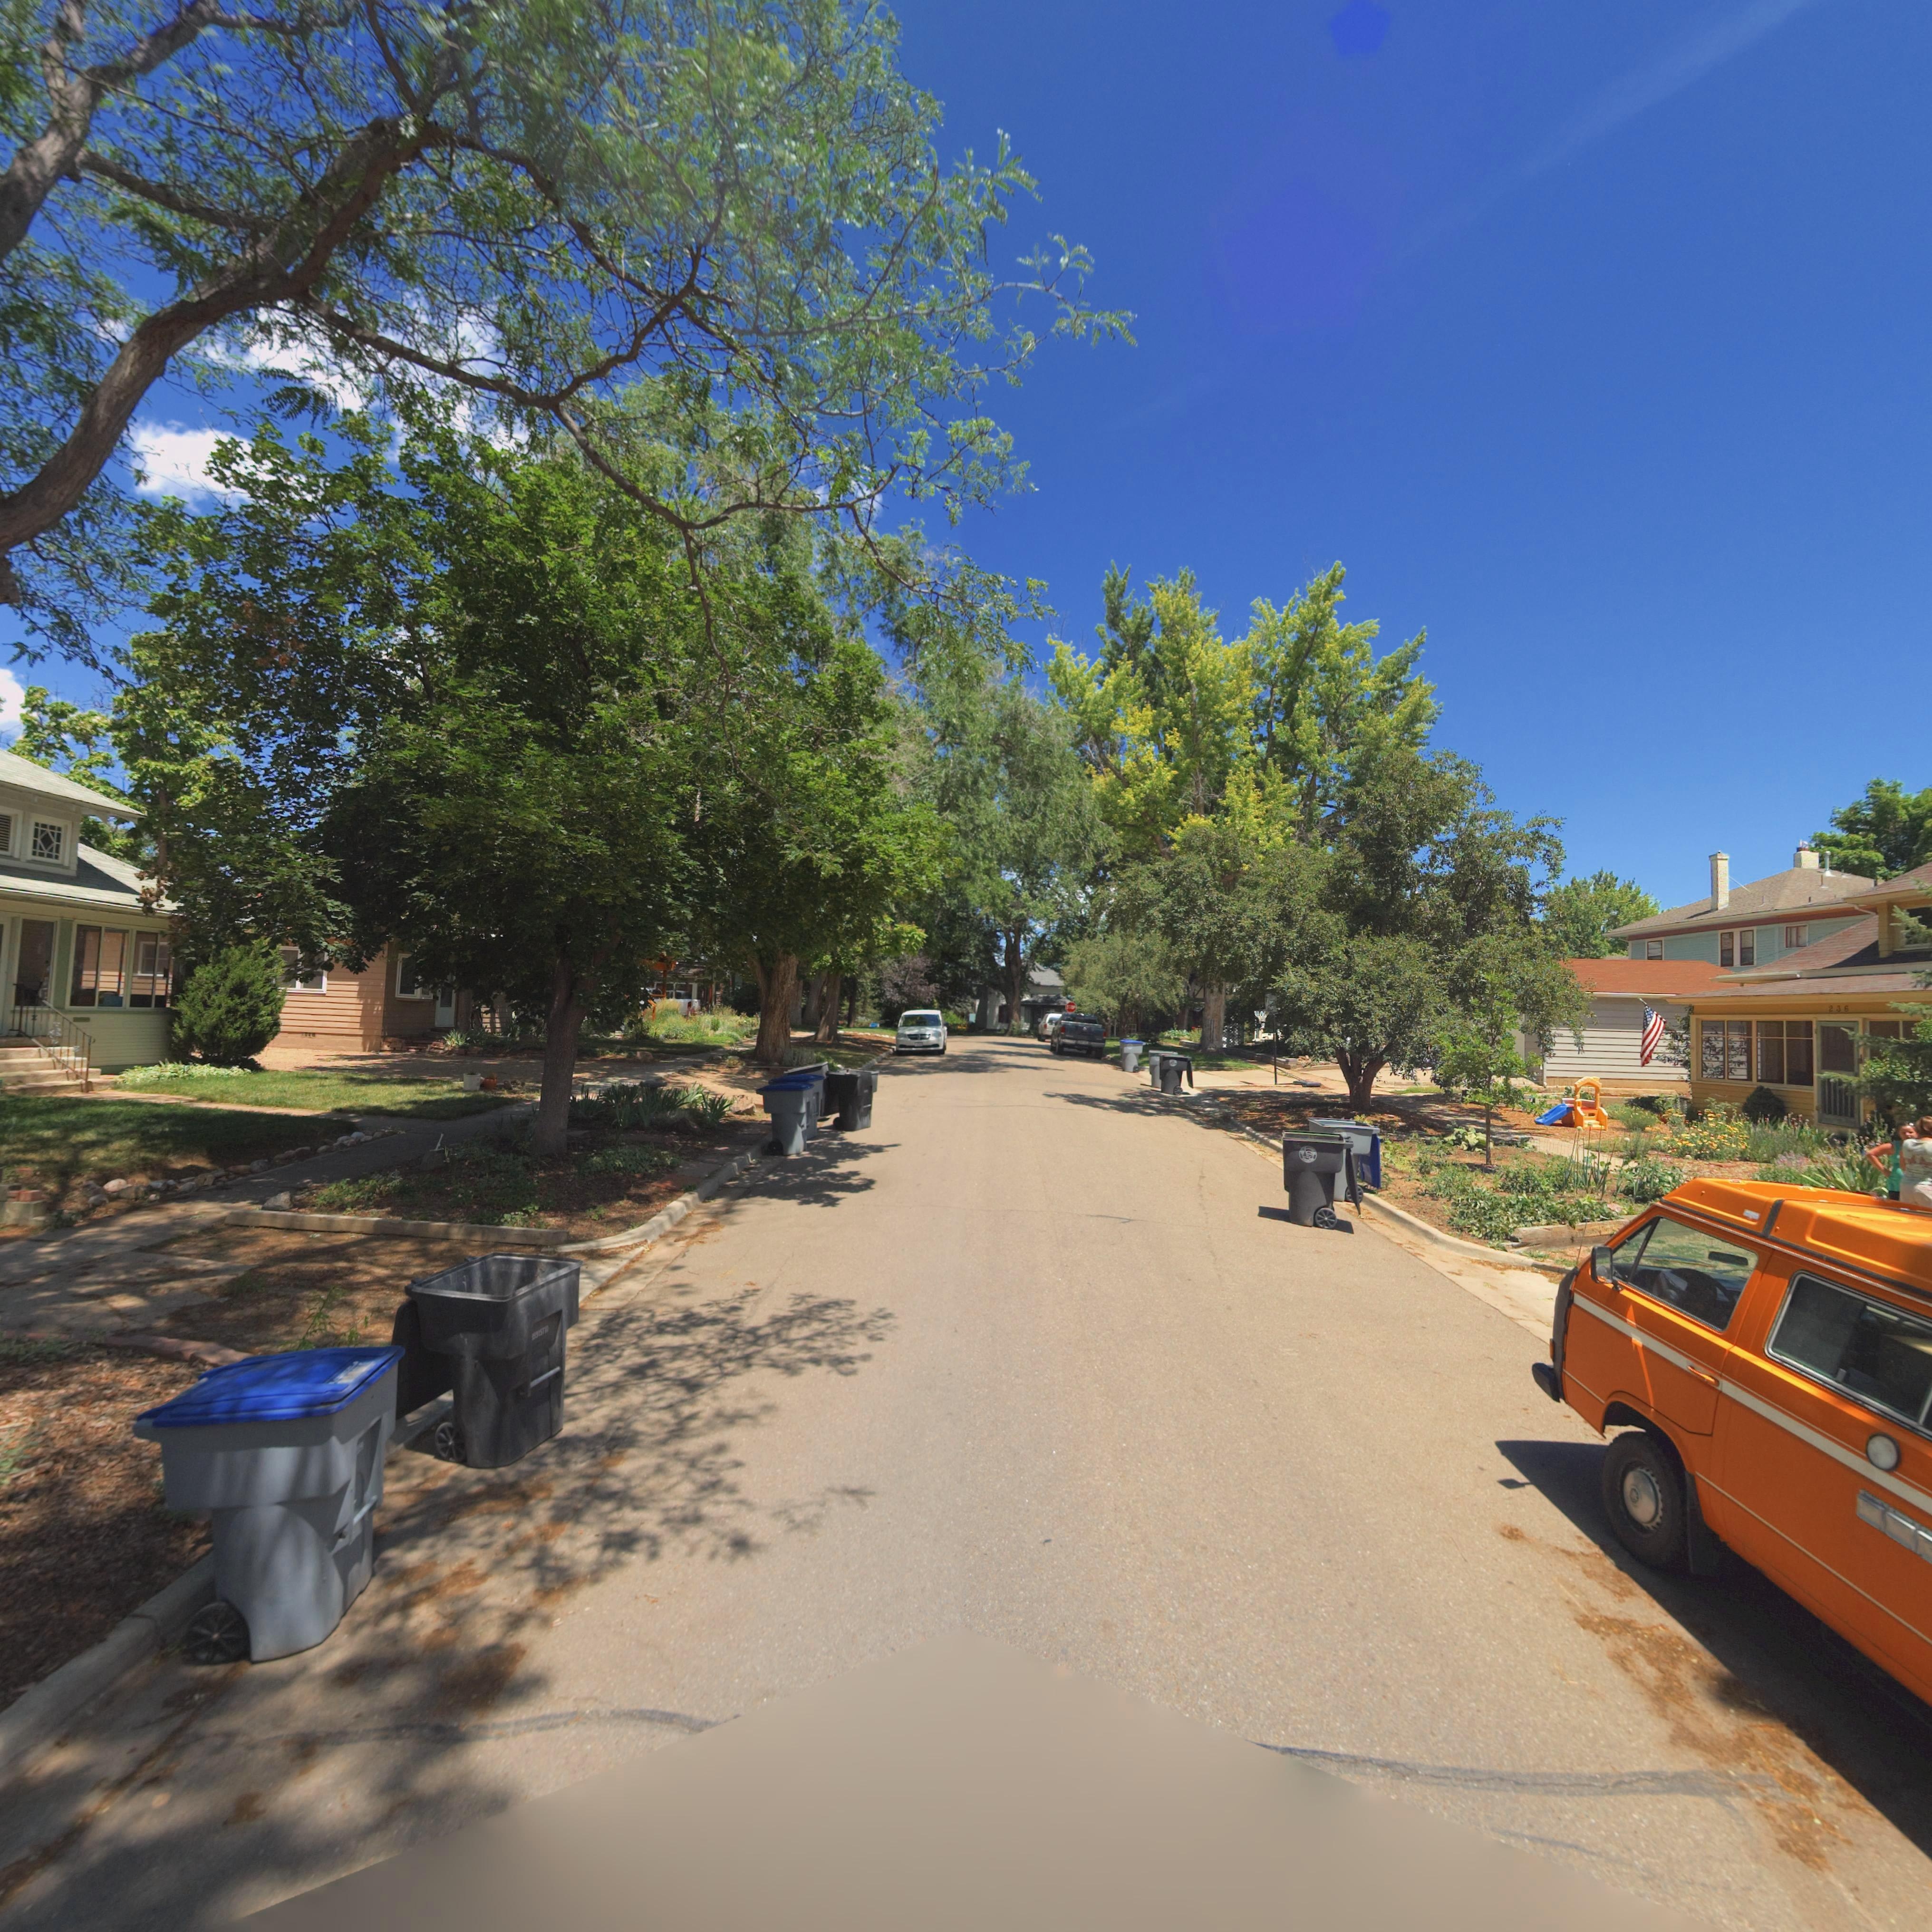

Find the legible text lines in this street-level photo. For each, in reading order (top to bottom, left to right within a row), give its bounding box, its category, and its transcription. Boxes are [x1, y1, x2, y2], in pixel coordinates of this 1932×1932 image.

[1828, 1005, 1849, 1012] StreetNumber: 236